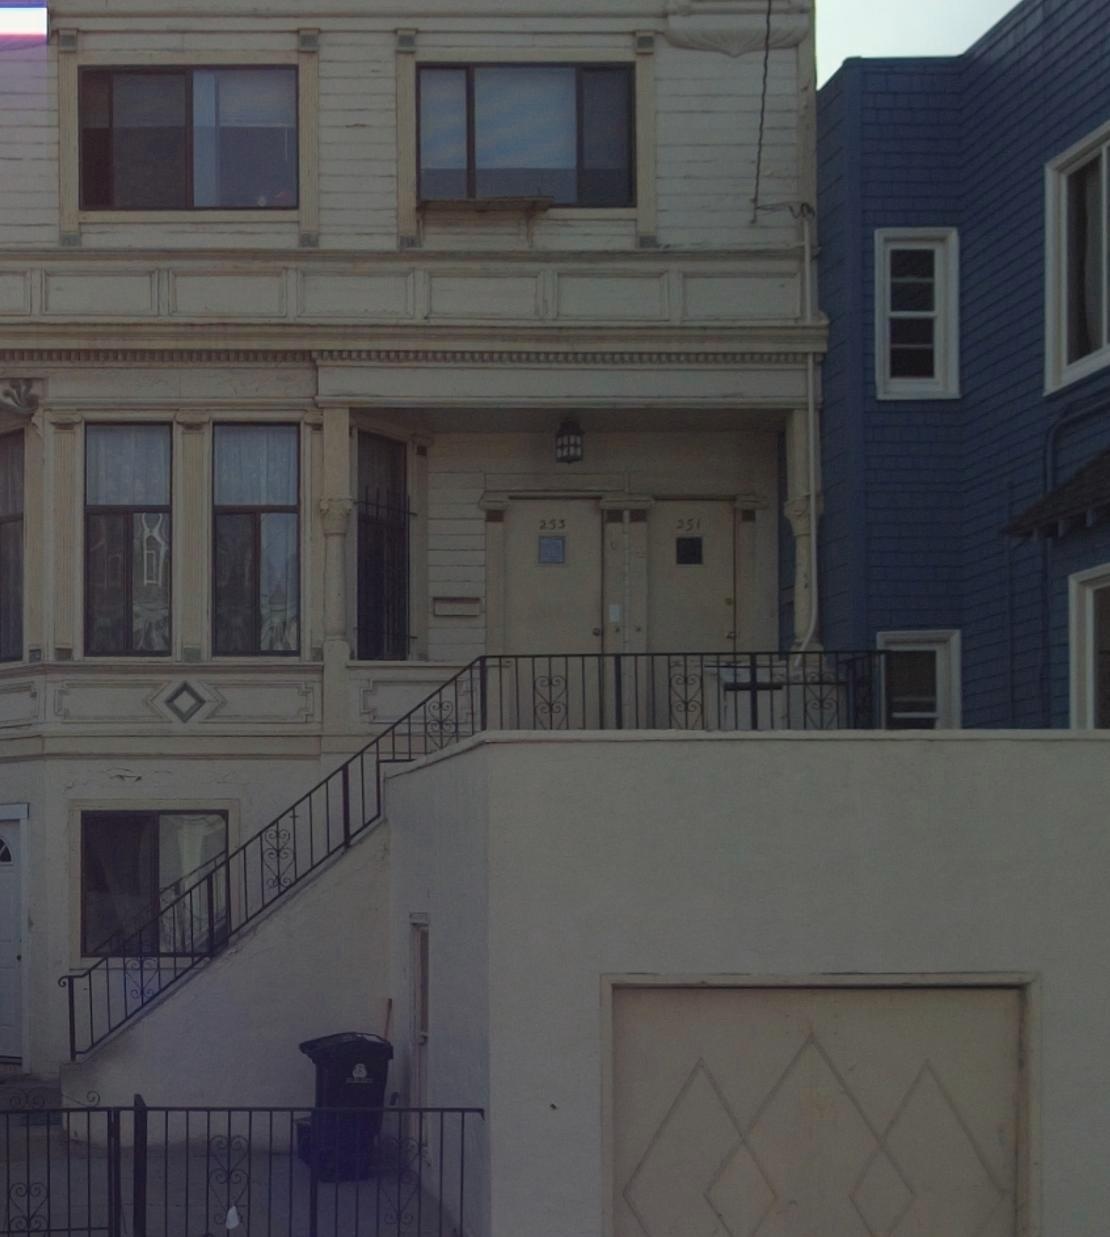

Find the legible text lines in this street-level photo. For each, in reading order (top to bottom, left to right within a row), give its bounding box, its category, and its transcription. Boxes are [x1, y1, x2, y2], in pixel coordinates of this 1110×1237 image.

[538, 518, 566, 531] StreetNumber: 253
[676, 517, 702, 532] StreetNumber: 251